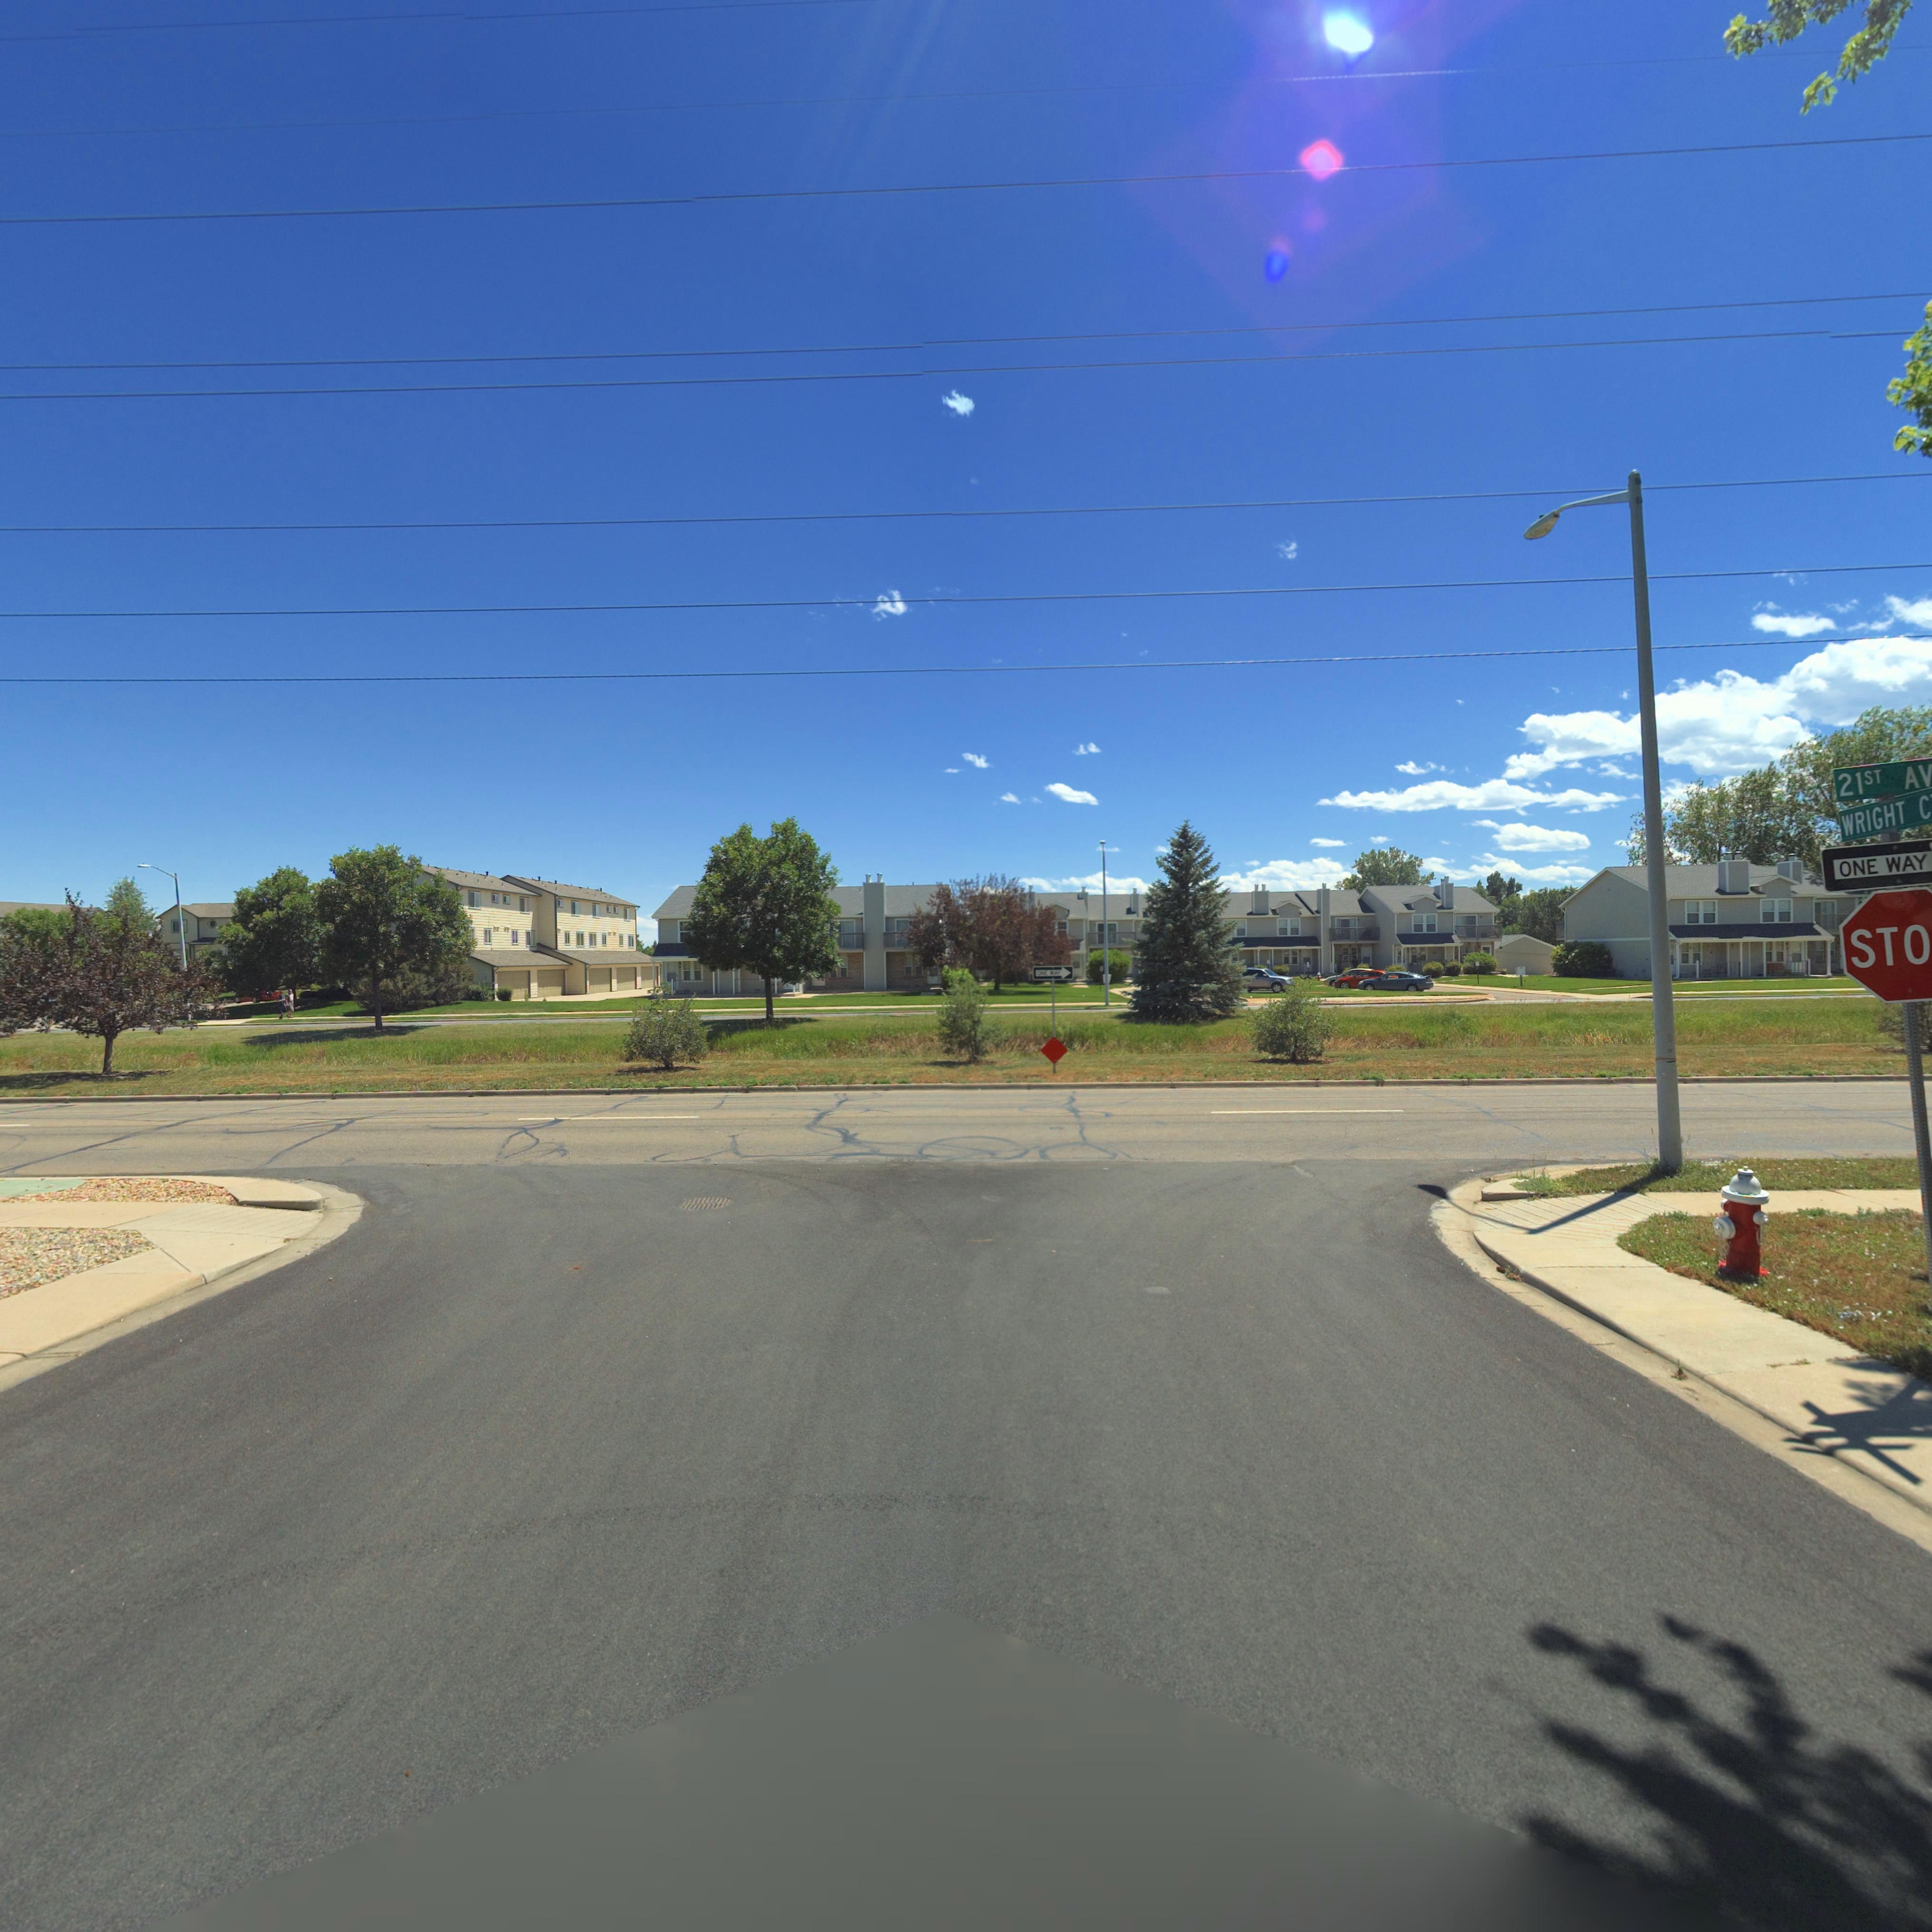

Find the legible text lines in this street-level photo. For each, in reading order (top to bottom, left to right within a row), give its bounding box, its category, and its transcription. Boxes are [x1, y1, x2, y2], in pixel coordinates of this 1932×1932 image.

[1836, 763, 1932, 797] StreetName: 21ST AV
[1840, 793, 1932, 837] StreetName: WRIGHT C